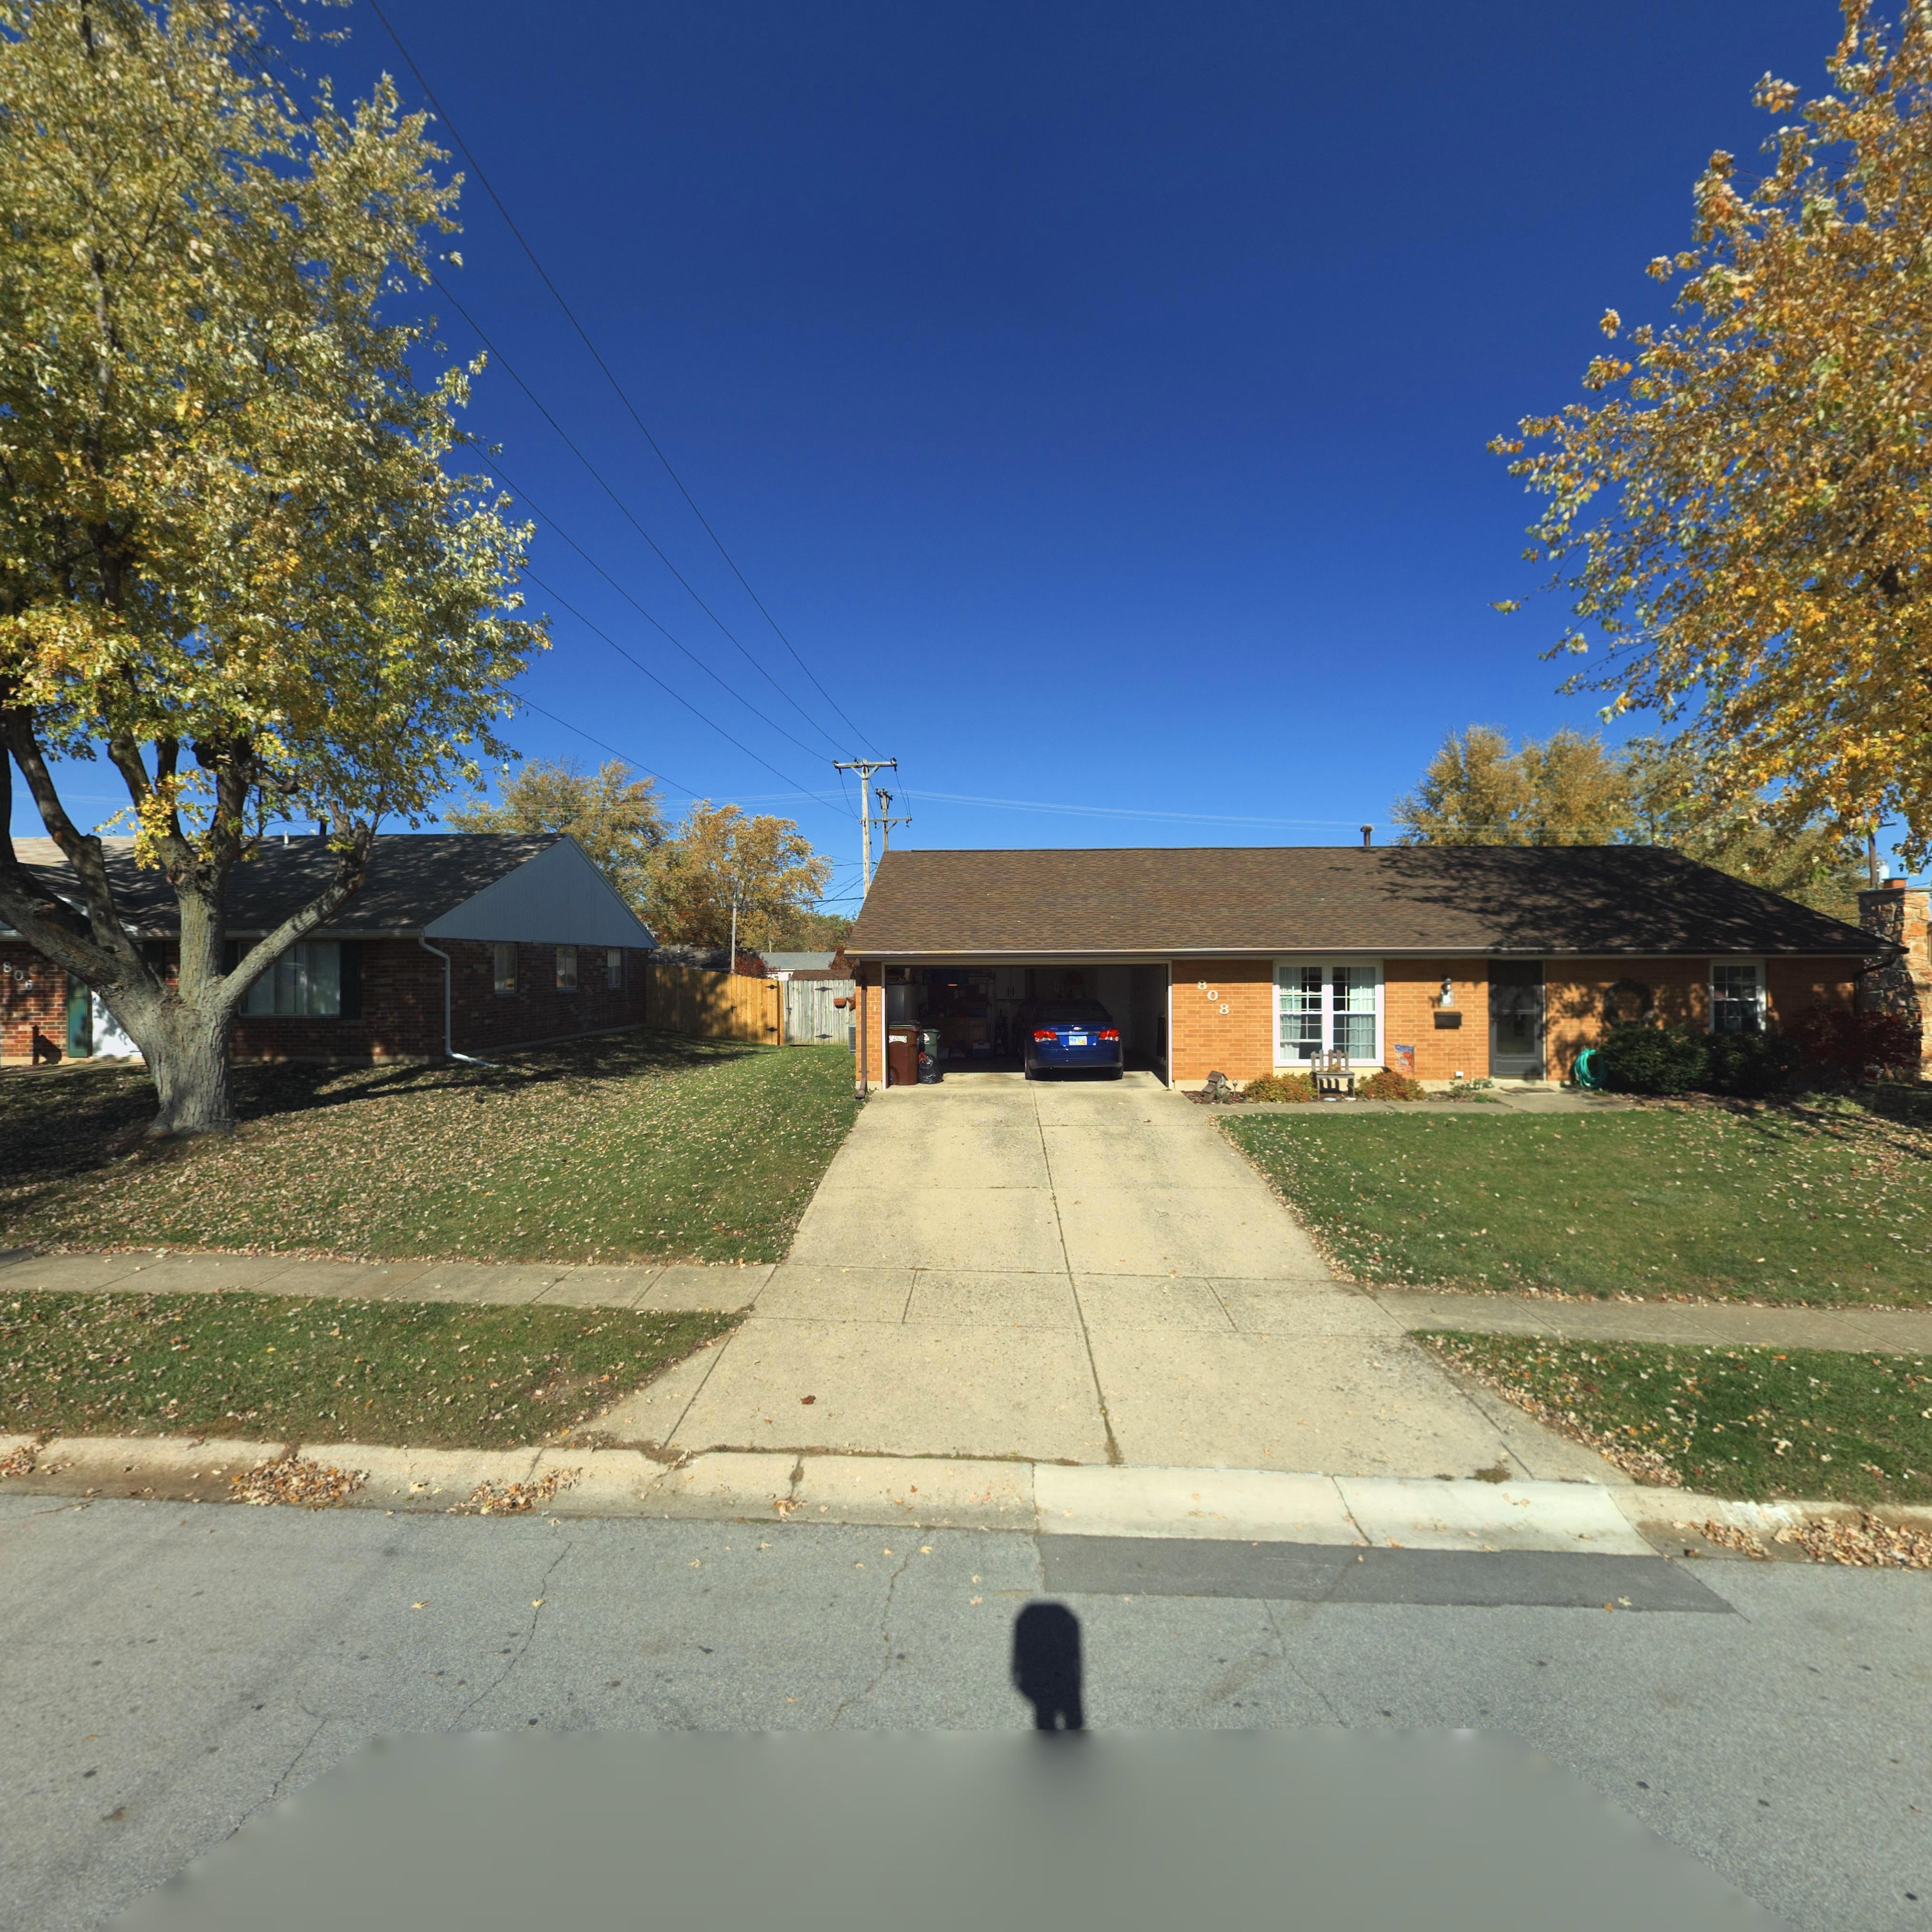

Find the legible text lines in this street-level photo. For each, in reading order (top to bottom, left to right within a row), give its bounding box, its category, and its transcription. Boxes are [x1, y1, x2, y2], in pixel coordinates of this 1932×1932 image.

[2, 961, 33, 991] StreetNumber: 806
[1196, 979, 1229, 1015] StreetNumber: 808